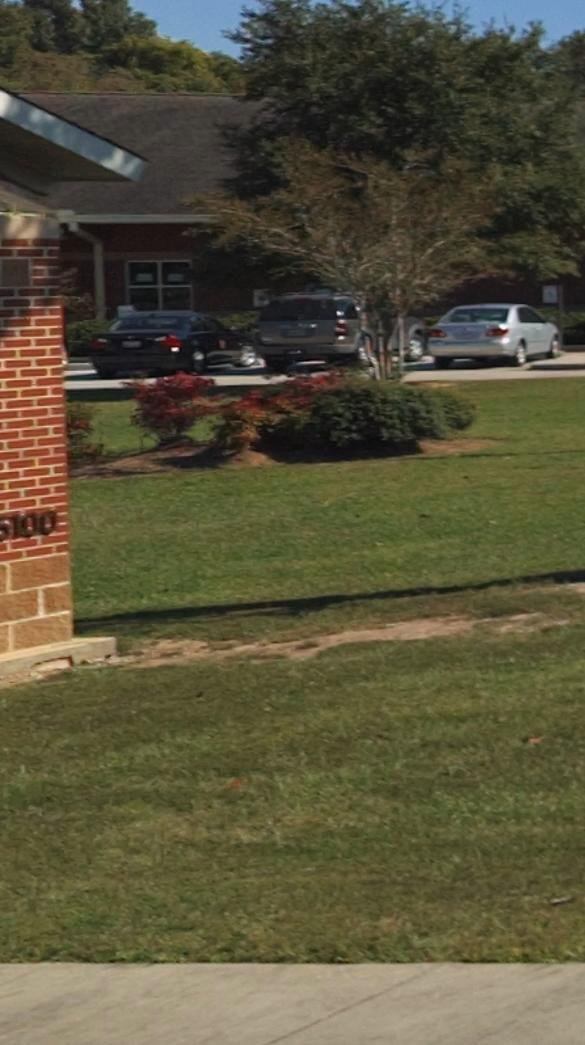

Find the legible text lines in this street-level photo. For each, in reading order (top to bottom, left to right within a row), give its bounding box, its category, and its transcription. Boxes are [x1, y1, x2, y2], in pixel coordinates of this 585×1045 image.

[0, 507, 58, 544] StreetNumber: 5100